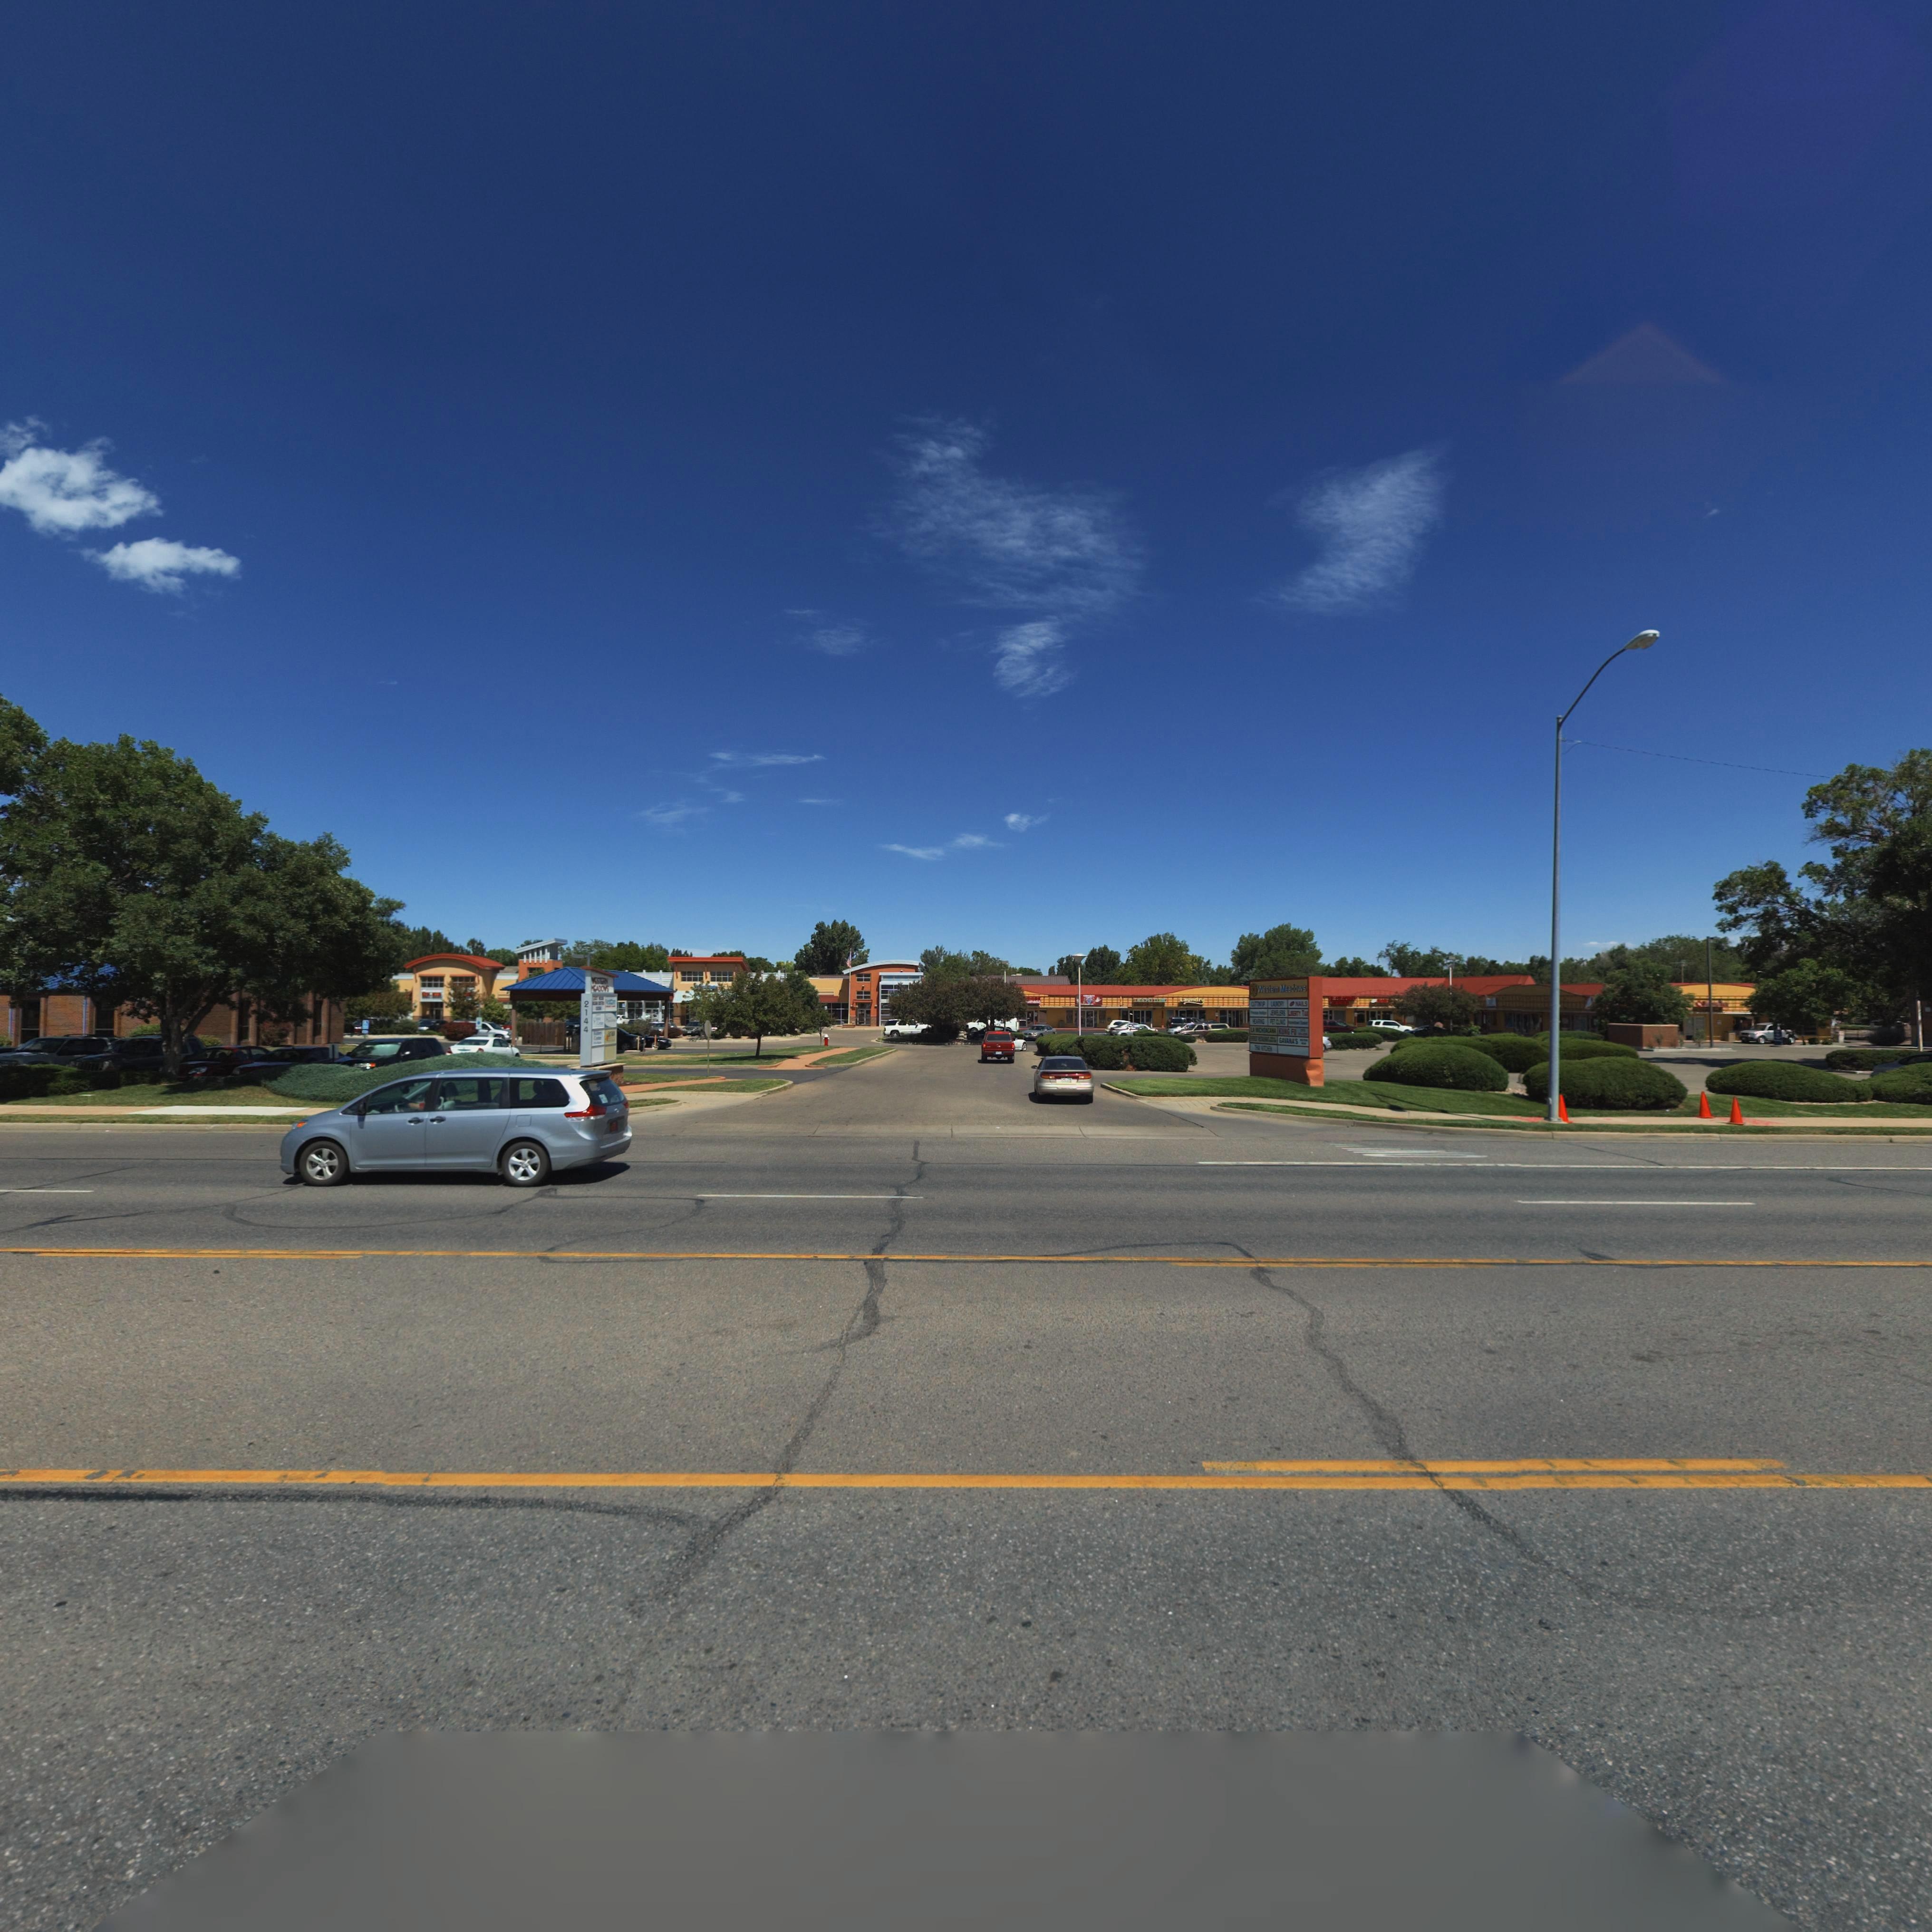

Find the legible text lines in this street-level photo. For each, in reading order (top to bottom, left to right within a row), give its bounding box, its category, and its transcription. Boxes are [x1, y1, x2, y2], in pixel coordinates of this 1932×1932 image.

[583, 1000, 589, 1034] StreetNumber: 2144